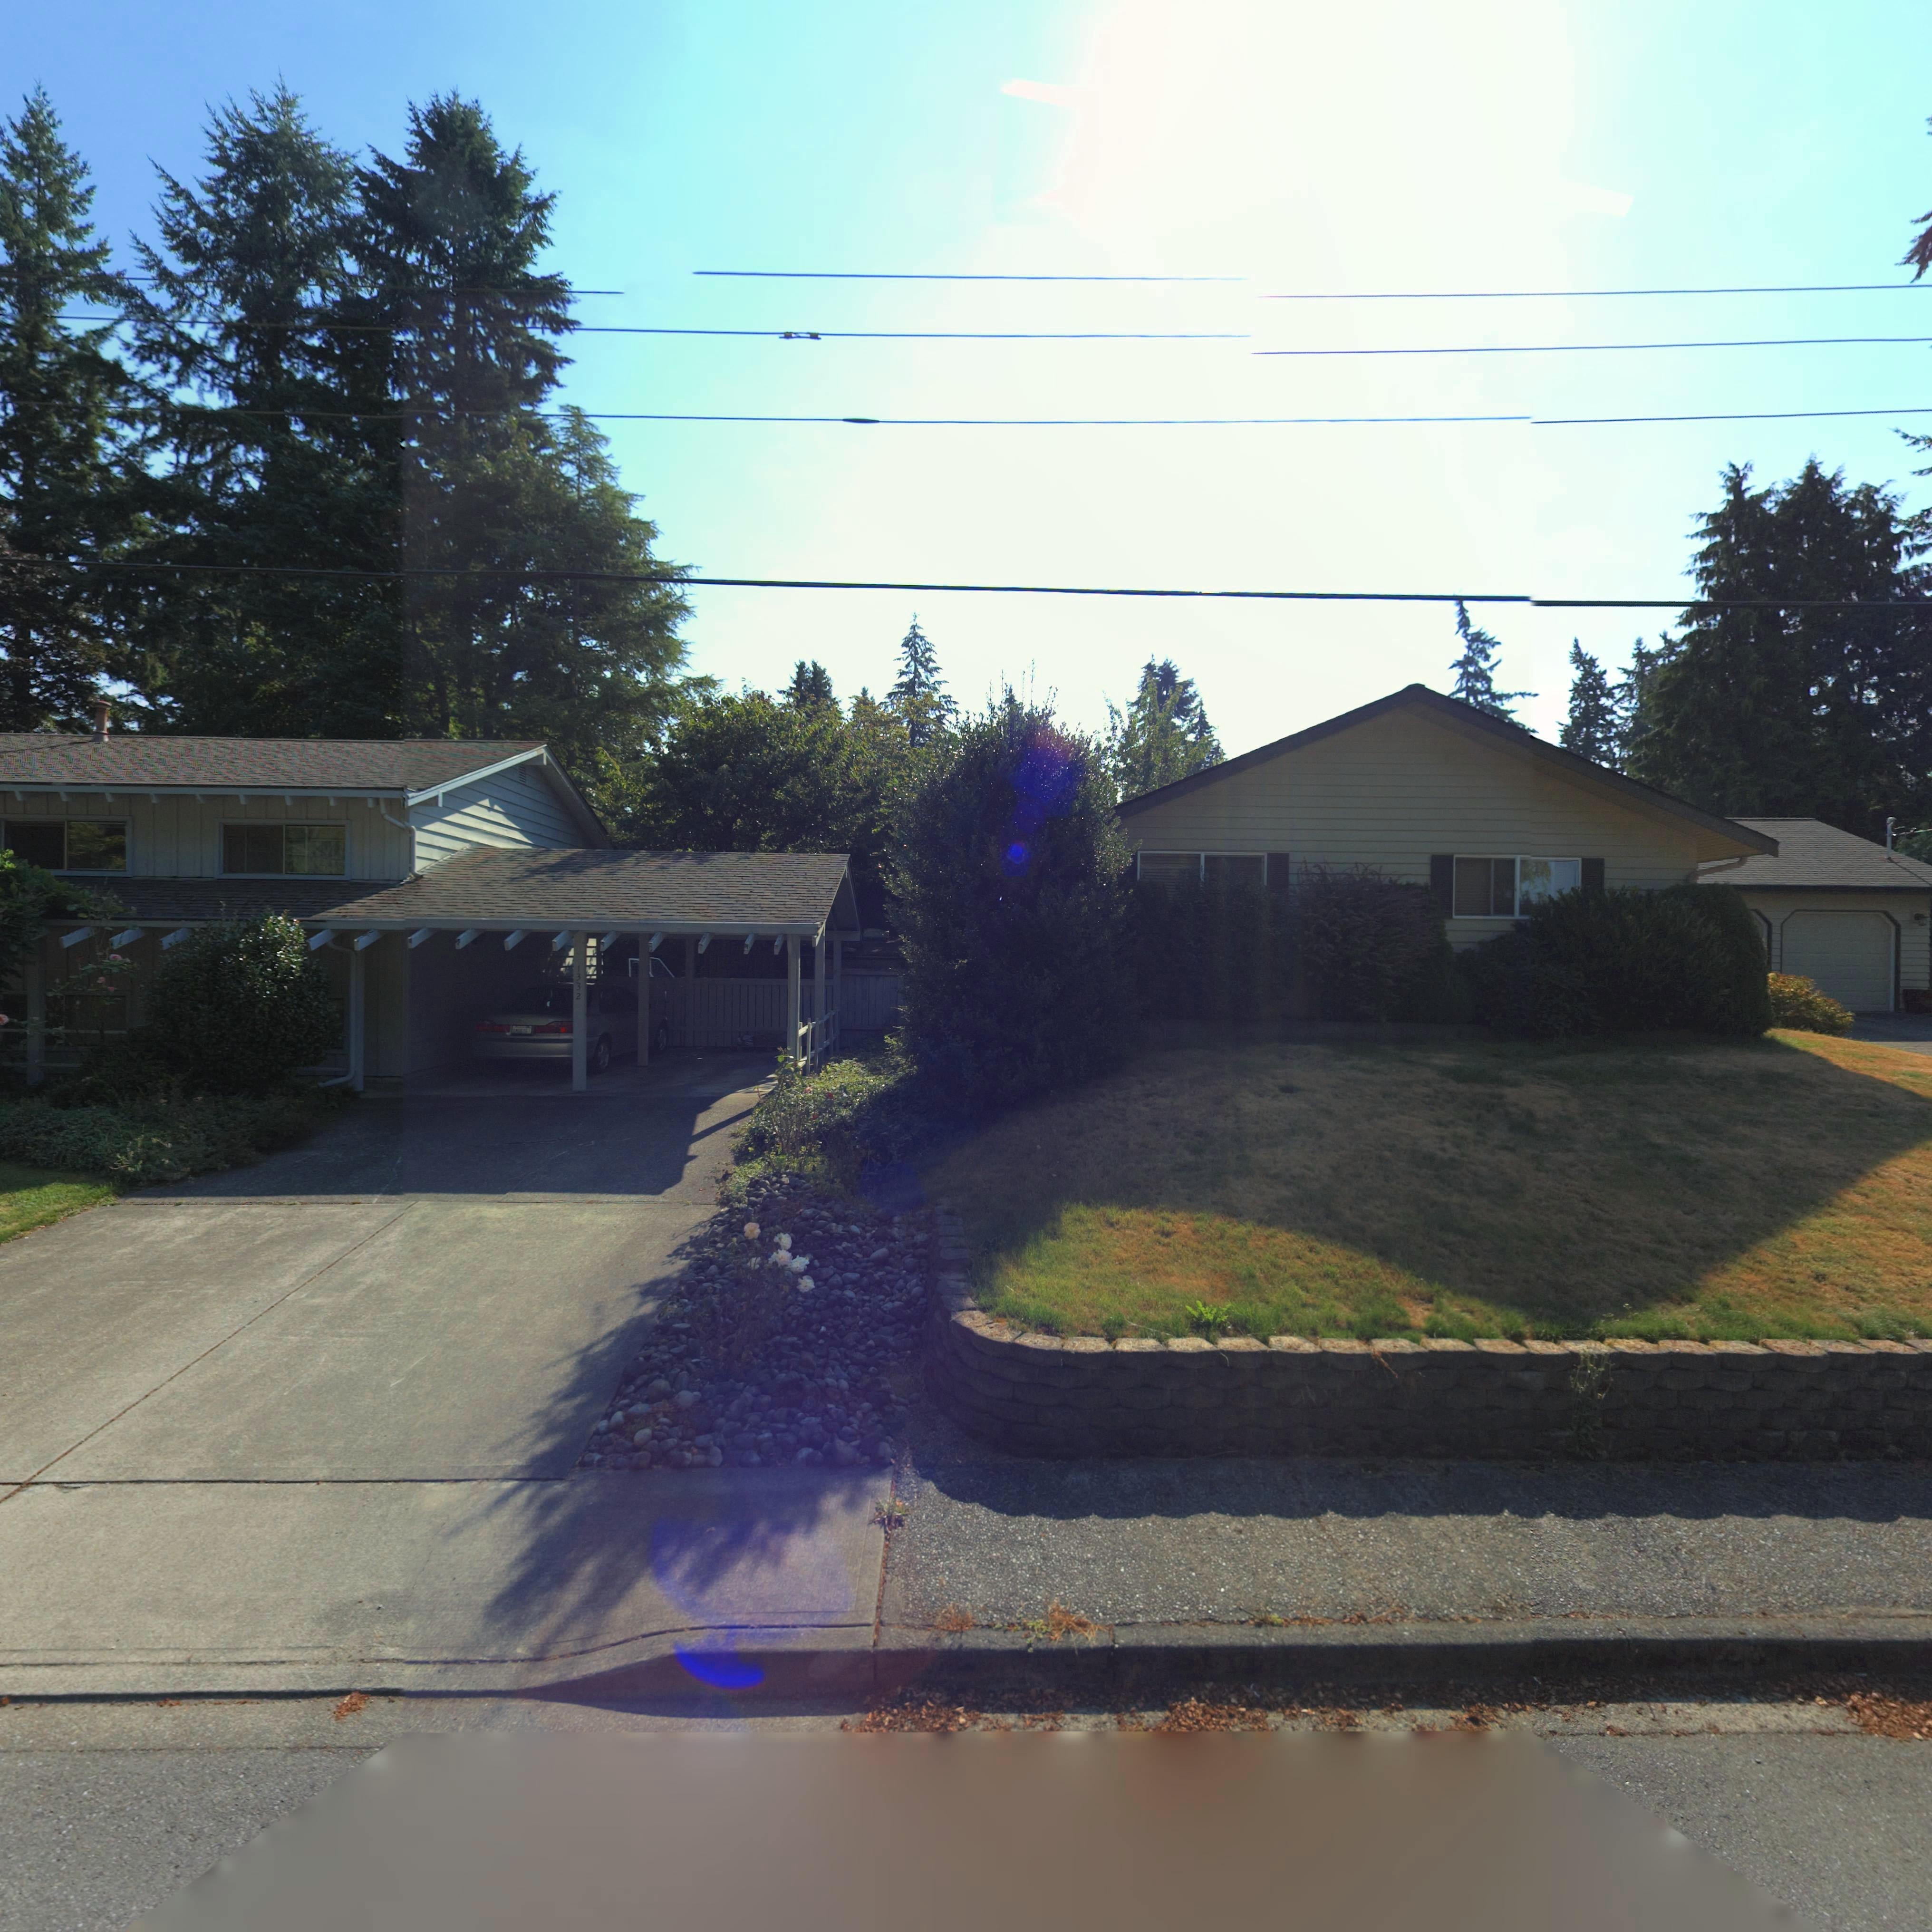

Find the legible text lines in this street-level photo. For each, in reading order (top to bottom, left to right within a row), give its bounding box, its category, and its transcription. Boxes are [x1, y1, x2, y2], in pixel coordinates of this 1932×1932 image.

[575, 962, 582, 1001] StreetNumber: 1332